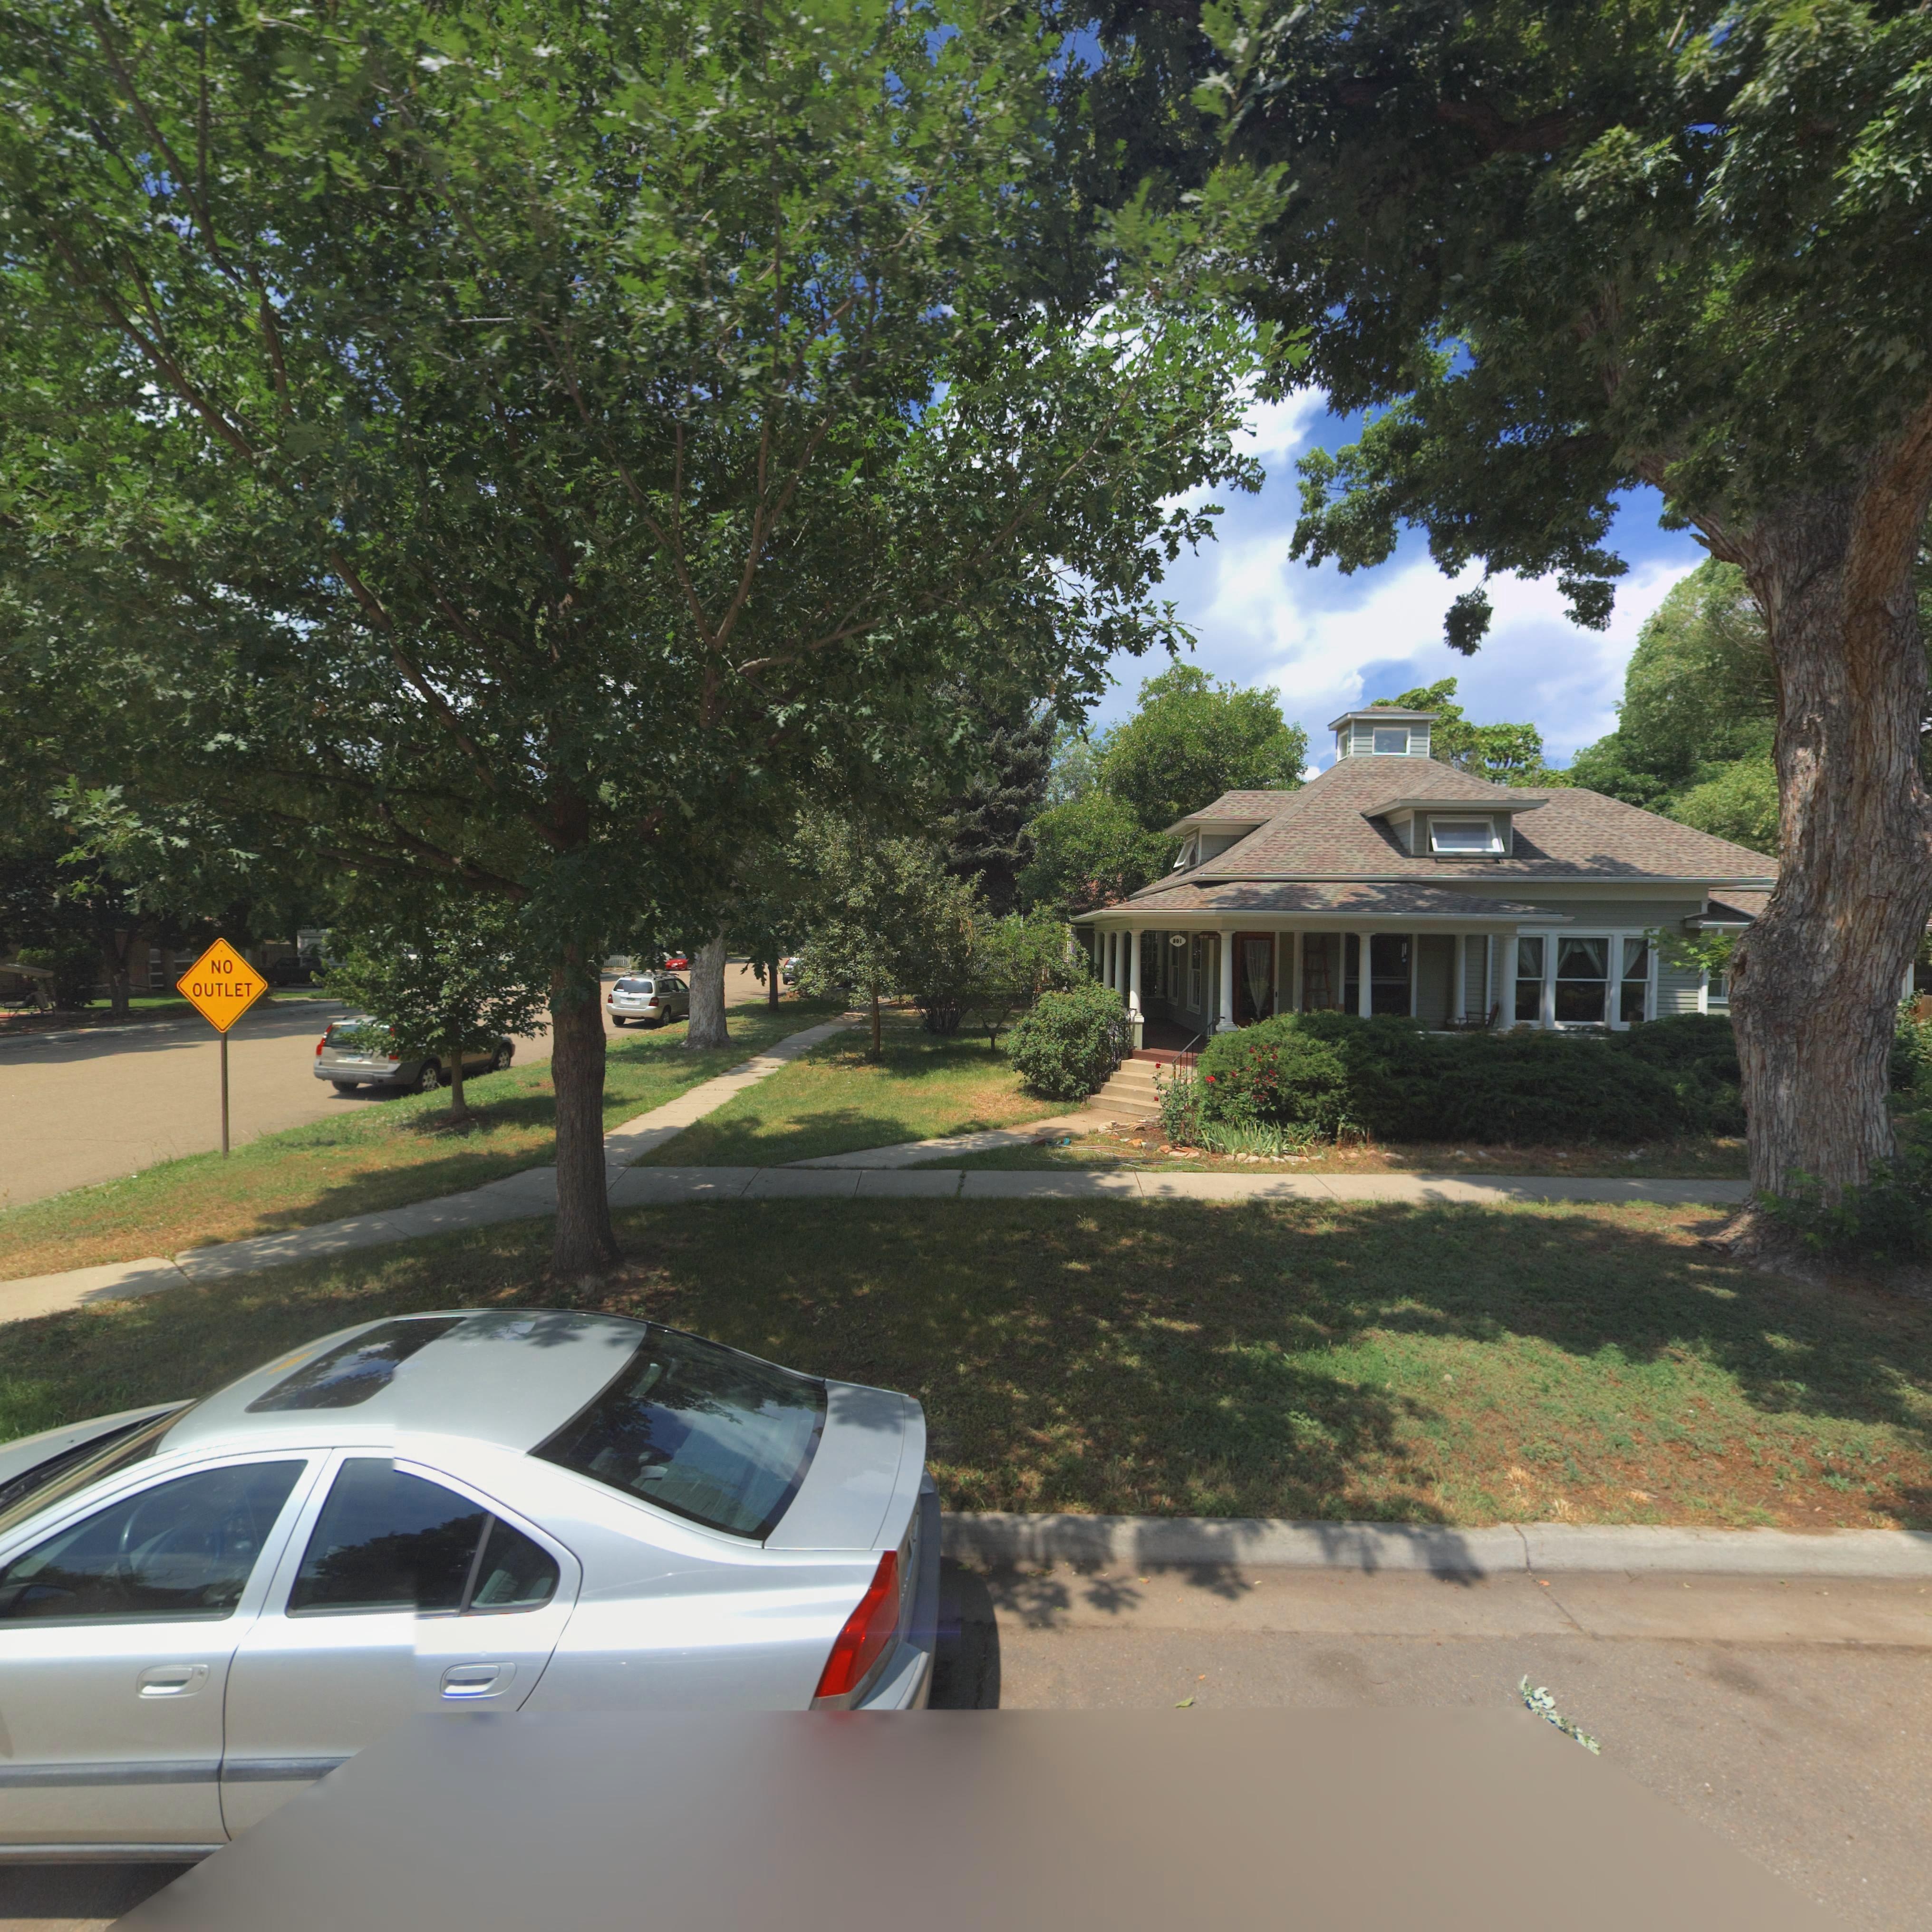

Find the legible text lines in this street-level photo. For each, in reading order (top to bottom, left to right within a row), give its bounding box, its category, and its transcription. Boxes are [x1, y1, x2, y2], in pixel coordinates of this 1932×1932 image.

[1172, 937, 1182, 943] StreetNumber: 801